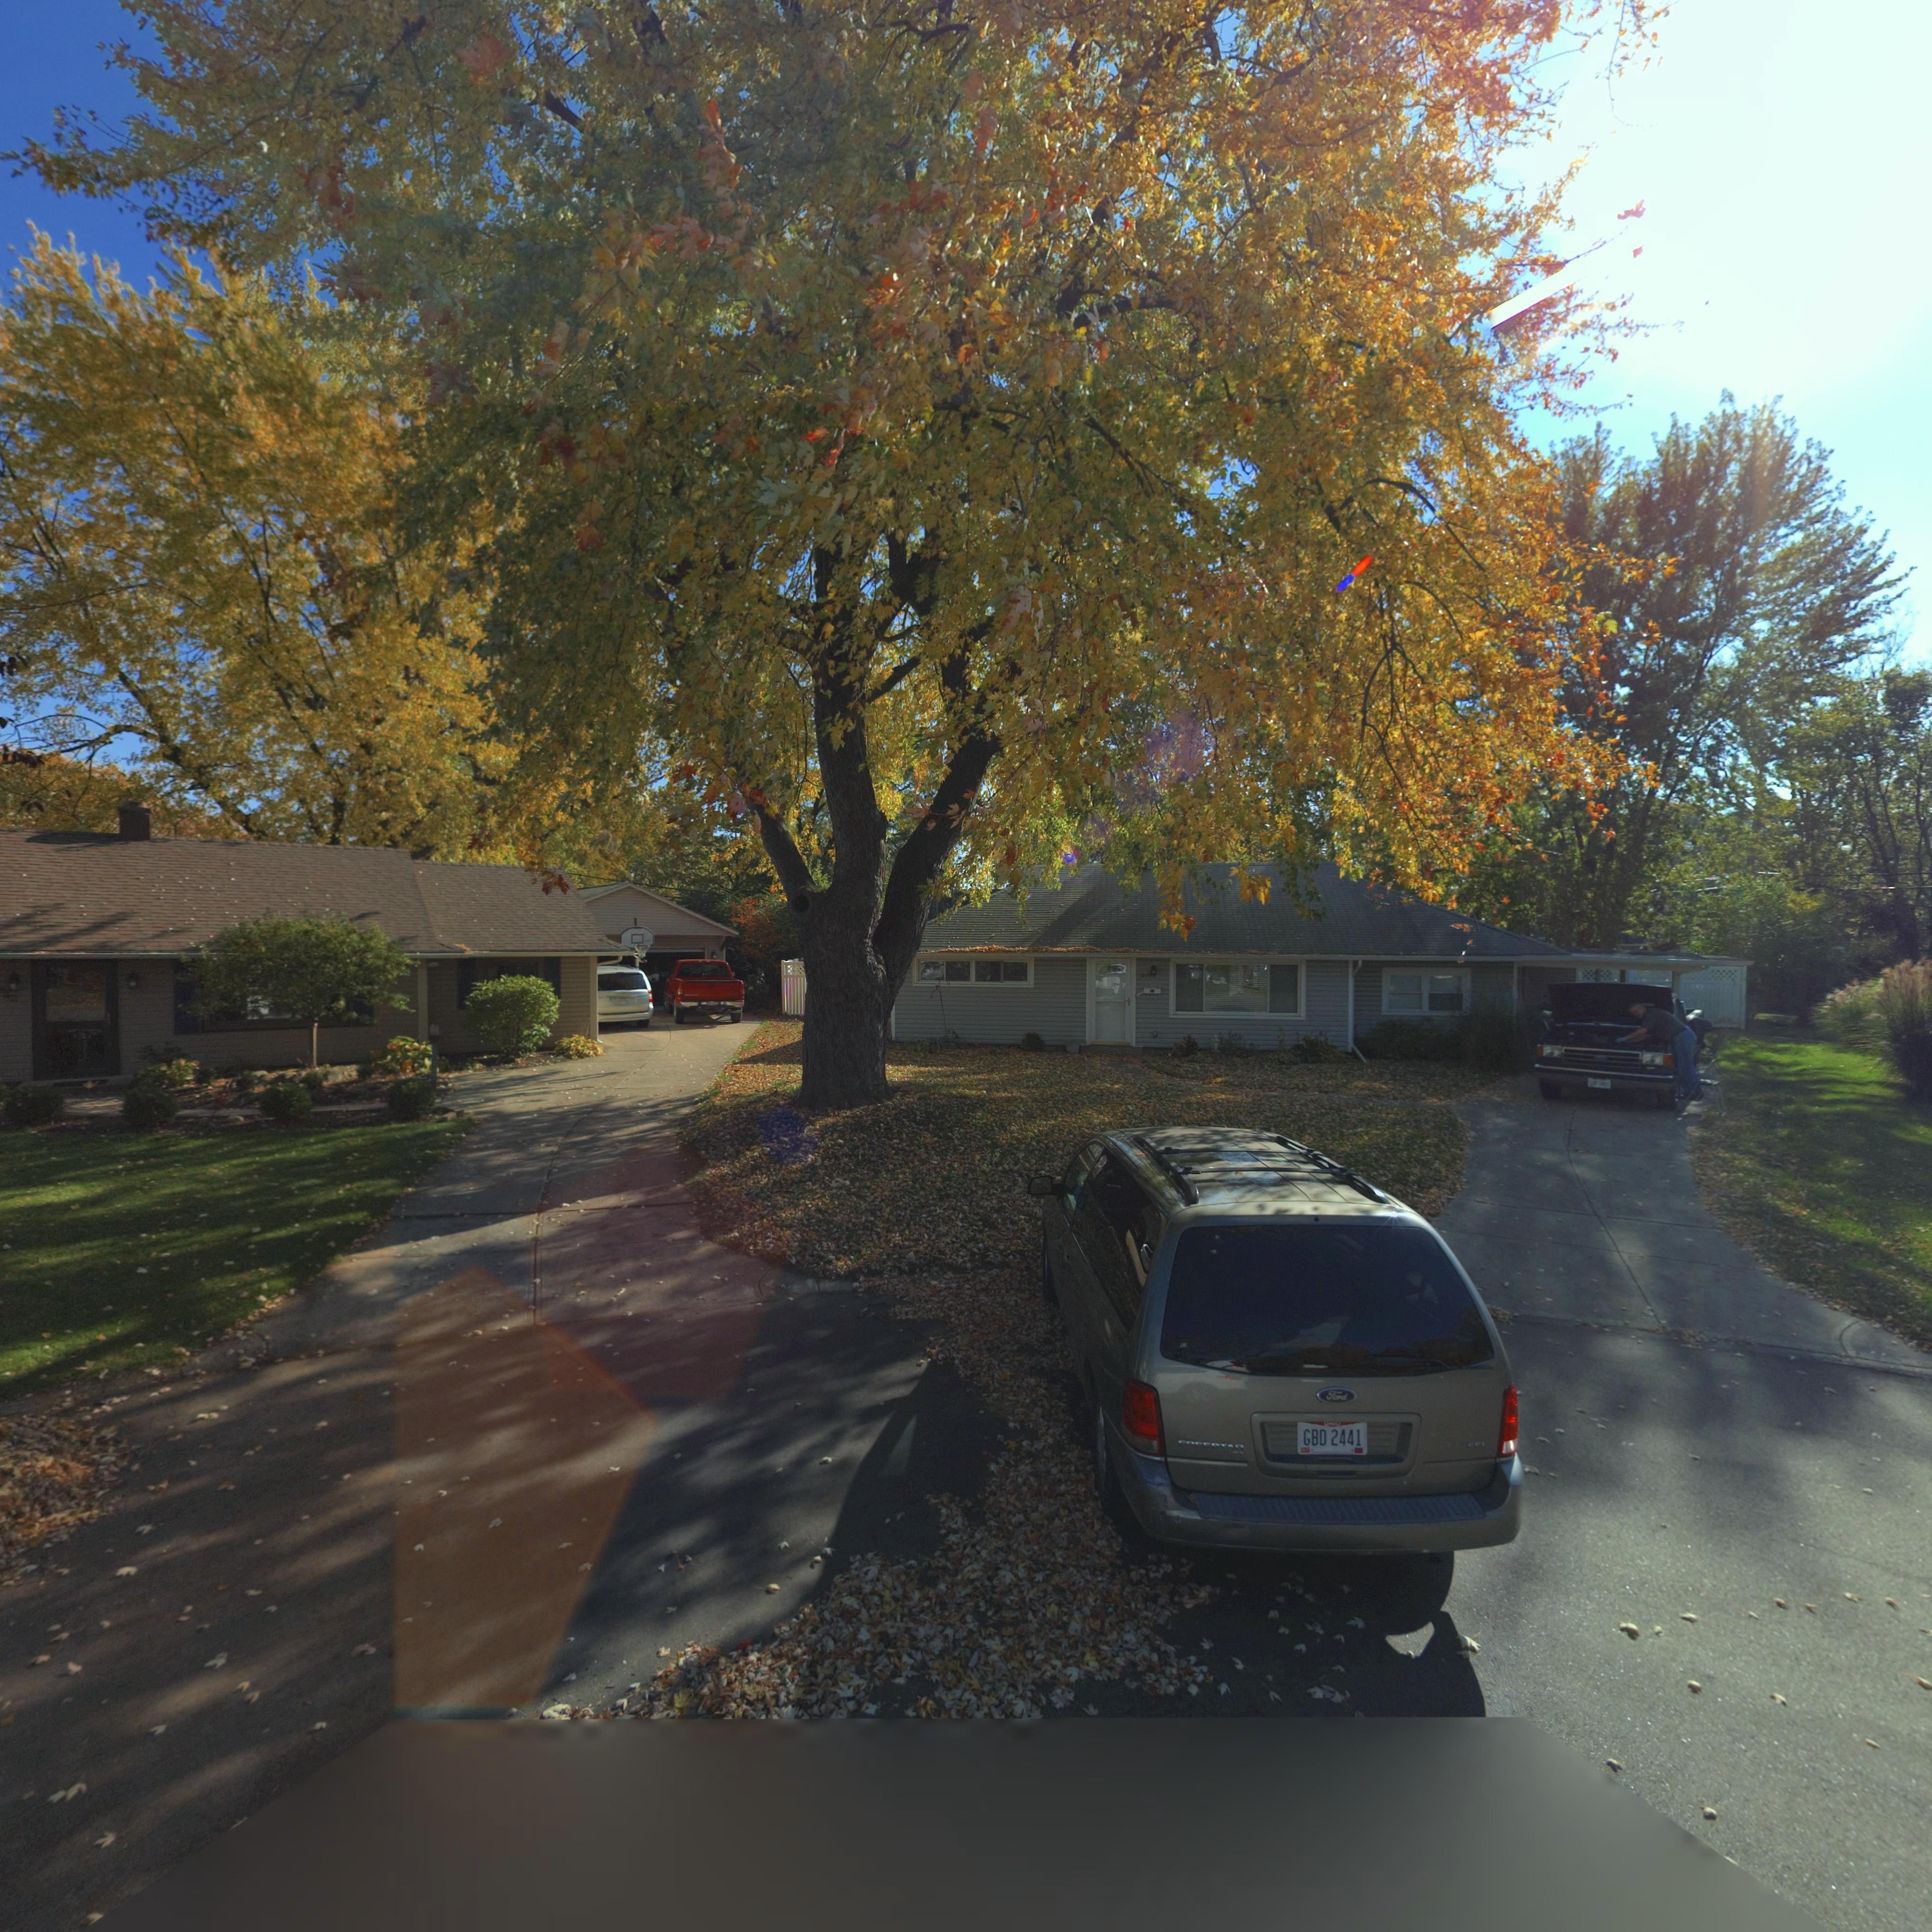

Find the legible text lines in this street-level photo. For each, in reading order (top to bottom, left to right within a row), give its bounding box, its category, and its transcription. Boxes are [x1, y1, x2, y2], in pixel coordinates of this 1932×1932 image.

[1325, 1389, 1349, 1401] None: Ford
[1303, 1428, 1362, 1447] None: GBD 2441